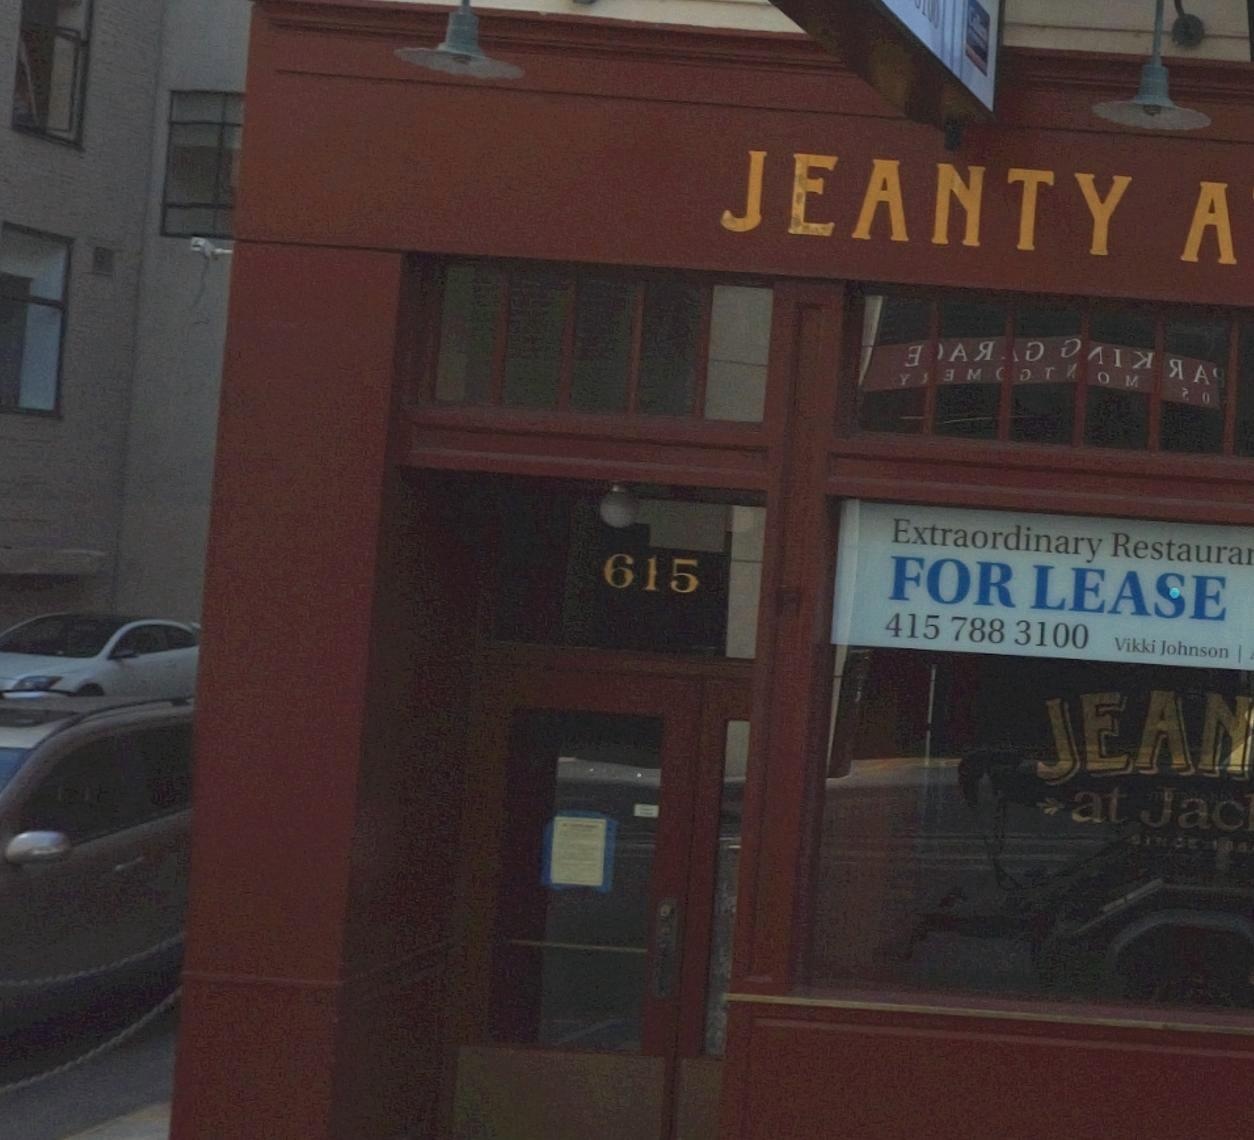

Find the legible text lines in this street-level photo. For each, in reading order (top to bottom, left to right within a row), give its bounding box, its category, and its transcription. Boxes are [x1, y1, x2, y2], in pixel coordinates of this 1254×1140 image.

[715, 147, 1238, 269] BusinessName: JEANTY A
[896, 361, 1212, 412] None: Y***M**T**OM* *O
[901, 334, 1228, 393] None: **A*** **I**A*
[890, 516, 1244, 568] BusinessName: Extraordinary Restaura
[603, 551, 701, 595] StreetNumber: 615
[886, 553, 1228, 624] None: FOR LEASE
[881, 610, 1090, 653] None: 415 788 3100
[1111, 635, 1231, 662] None: Vikki Johnson
[1032, 687, 1253, 790] BusinessName: JEAN
[1069, 780, 1247, 837] BusinessName: at Jac
[1127, 830, 1249, 857] None: SINCE 18*